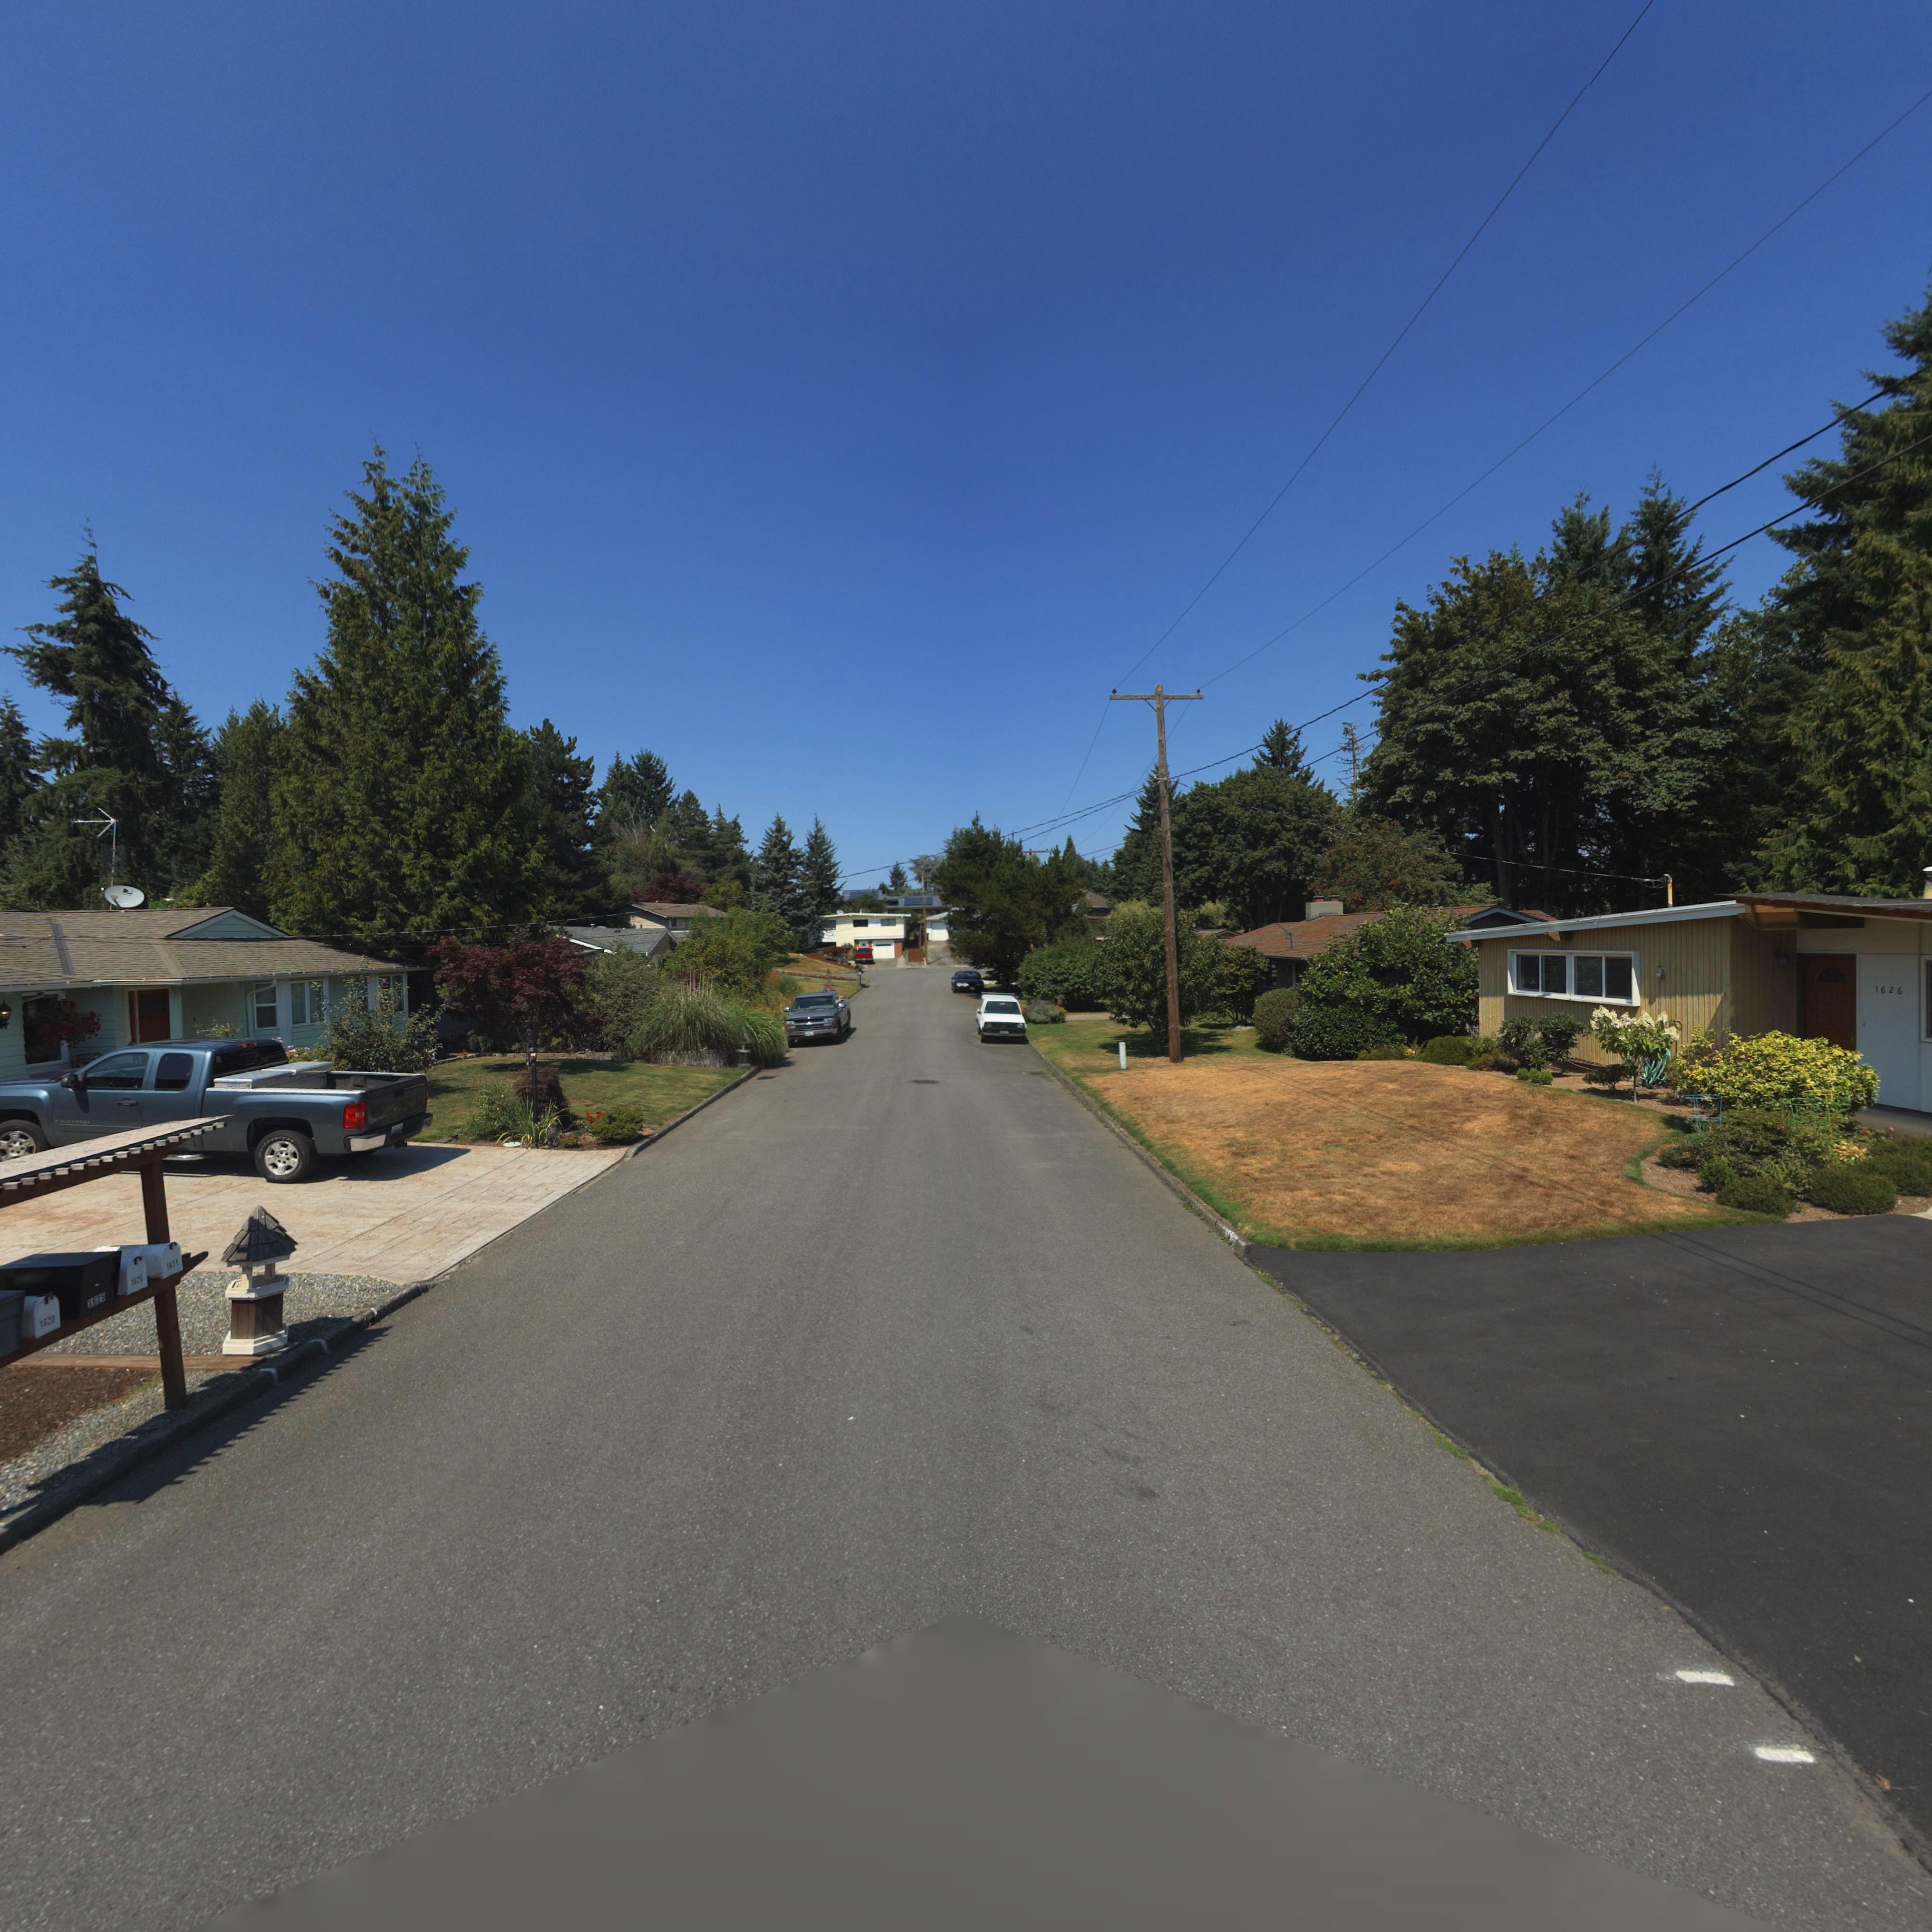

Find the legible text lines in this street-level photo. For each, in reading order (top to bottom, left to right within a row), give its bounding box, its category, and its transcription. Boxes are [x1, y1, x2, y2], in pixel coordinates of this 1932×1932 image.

[1875, 984, 1903, 995] StreetNumber: 1626